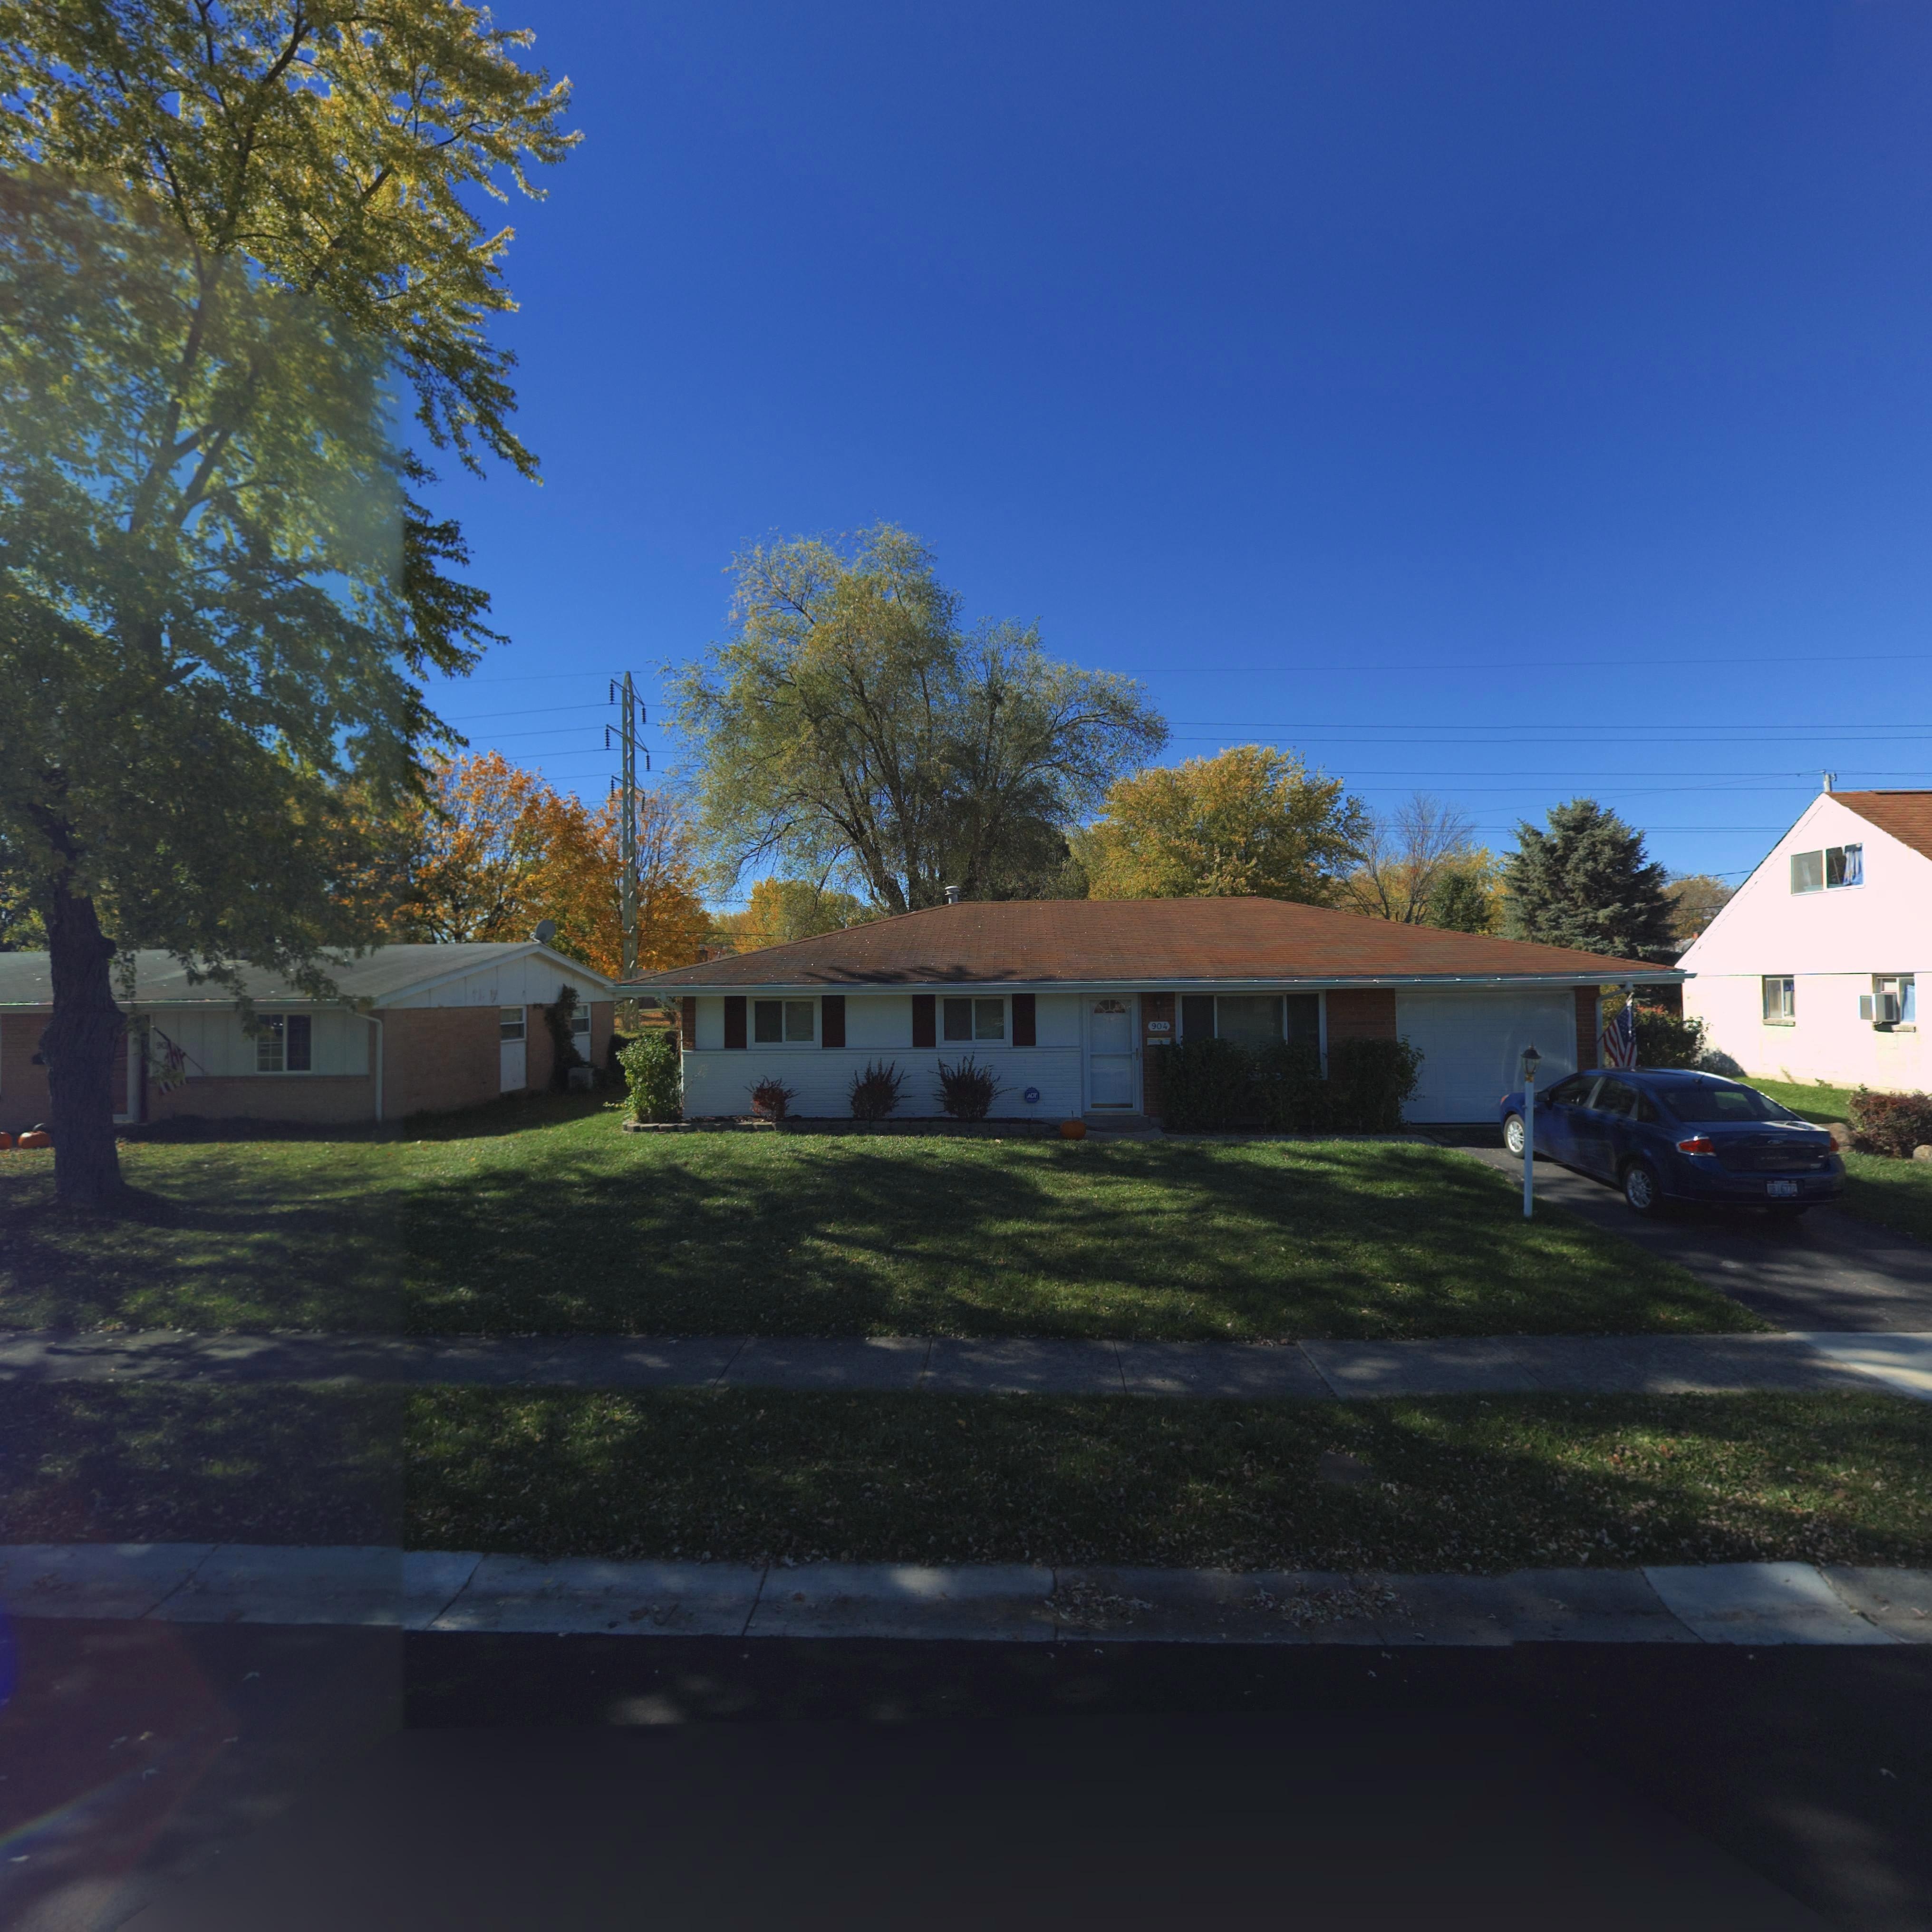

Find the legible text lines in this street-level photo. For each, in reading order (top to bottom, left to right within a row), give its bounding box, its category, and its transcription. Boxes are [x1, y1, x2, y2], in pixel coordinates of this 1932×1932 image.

[1151, 1022, 1168, 1029] StreetNumber: 904
[156, 1041, 168, 1050] StreetNumber: 90